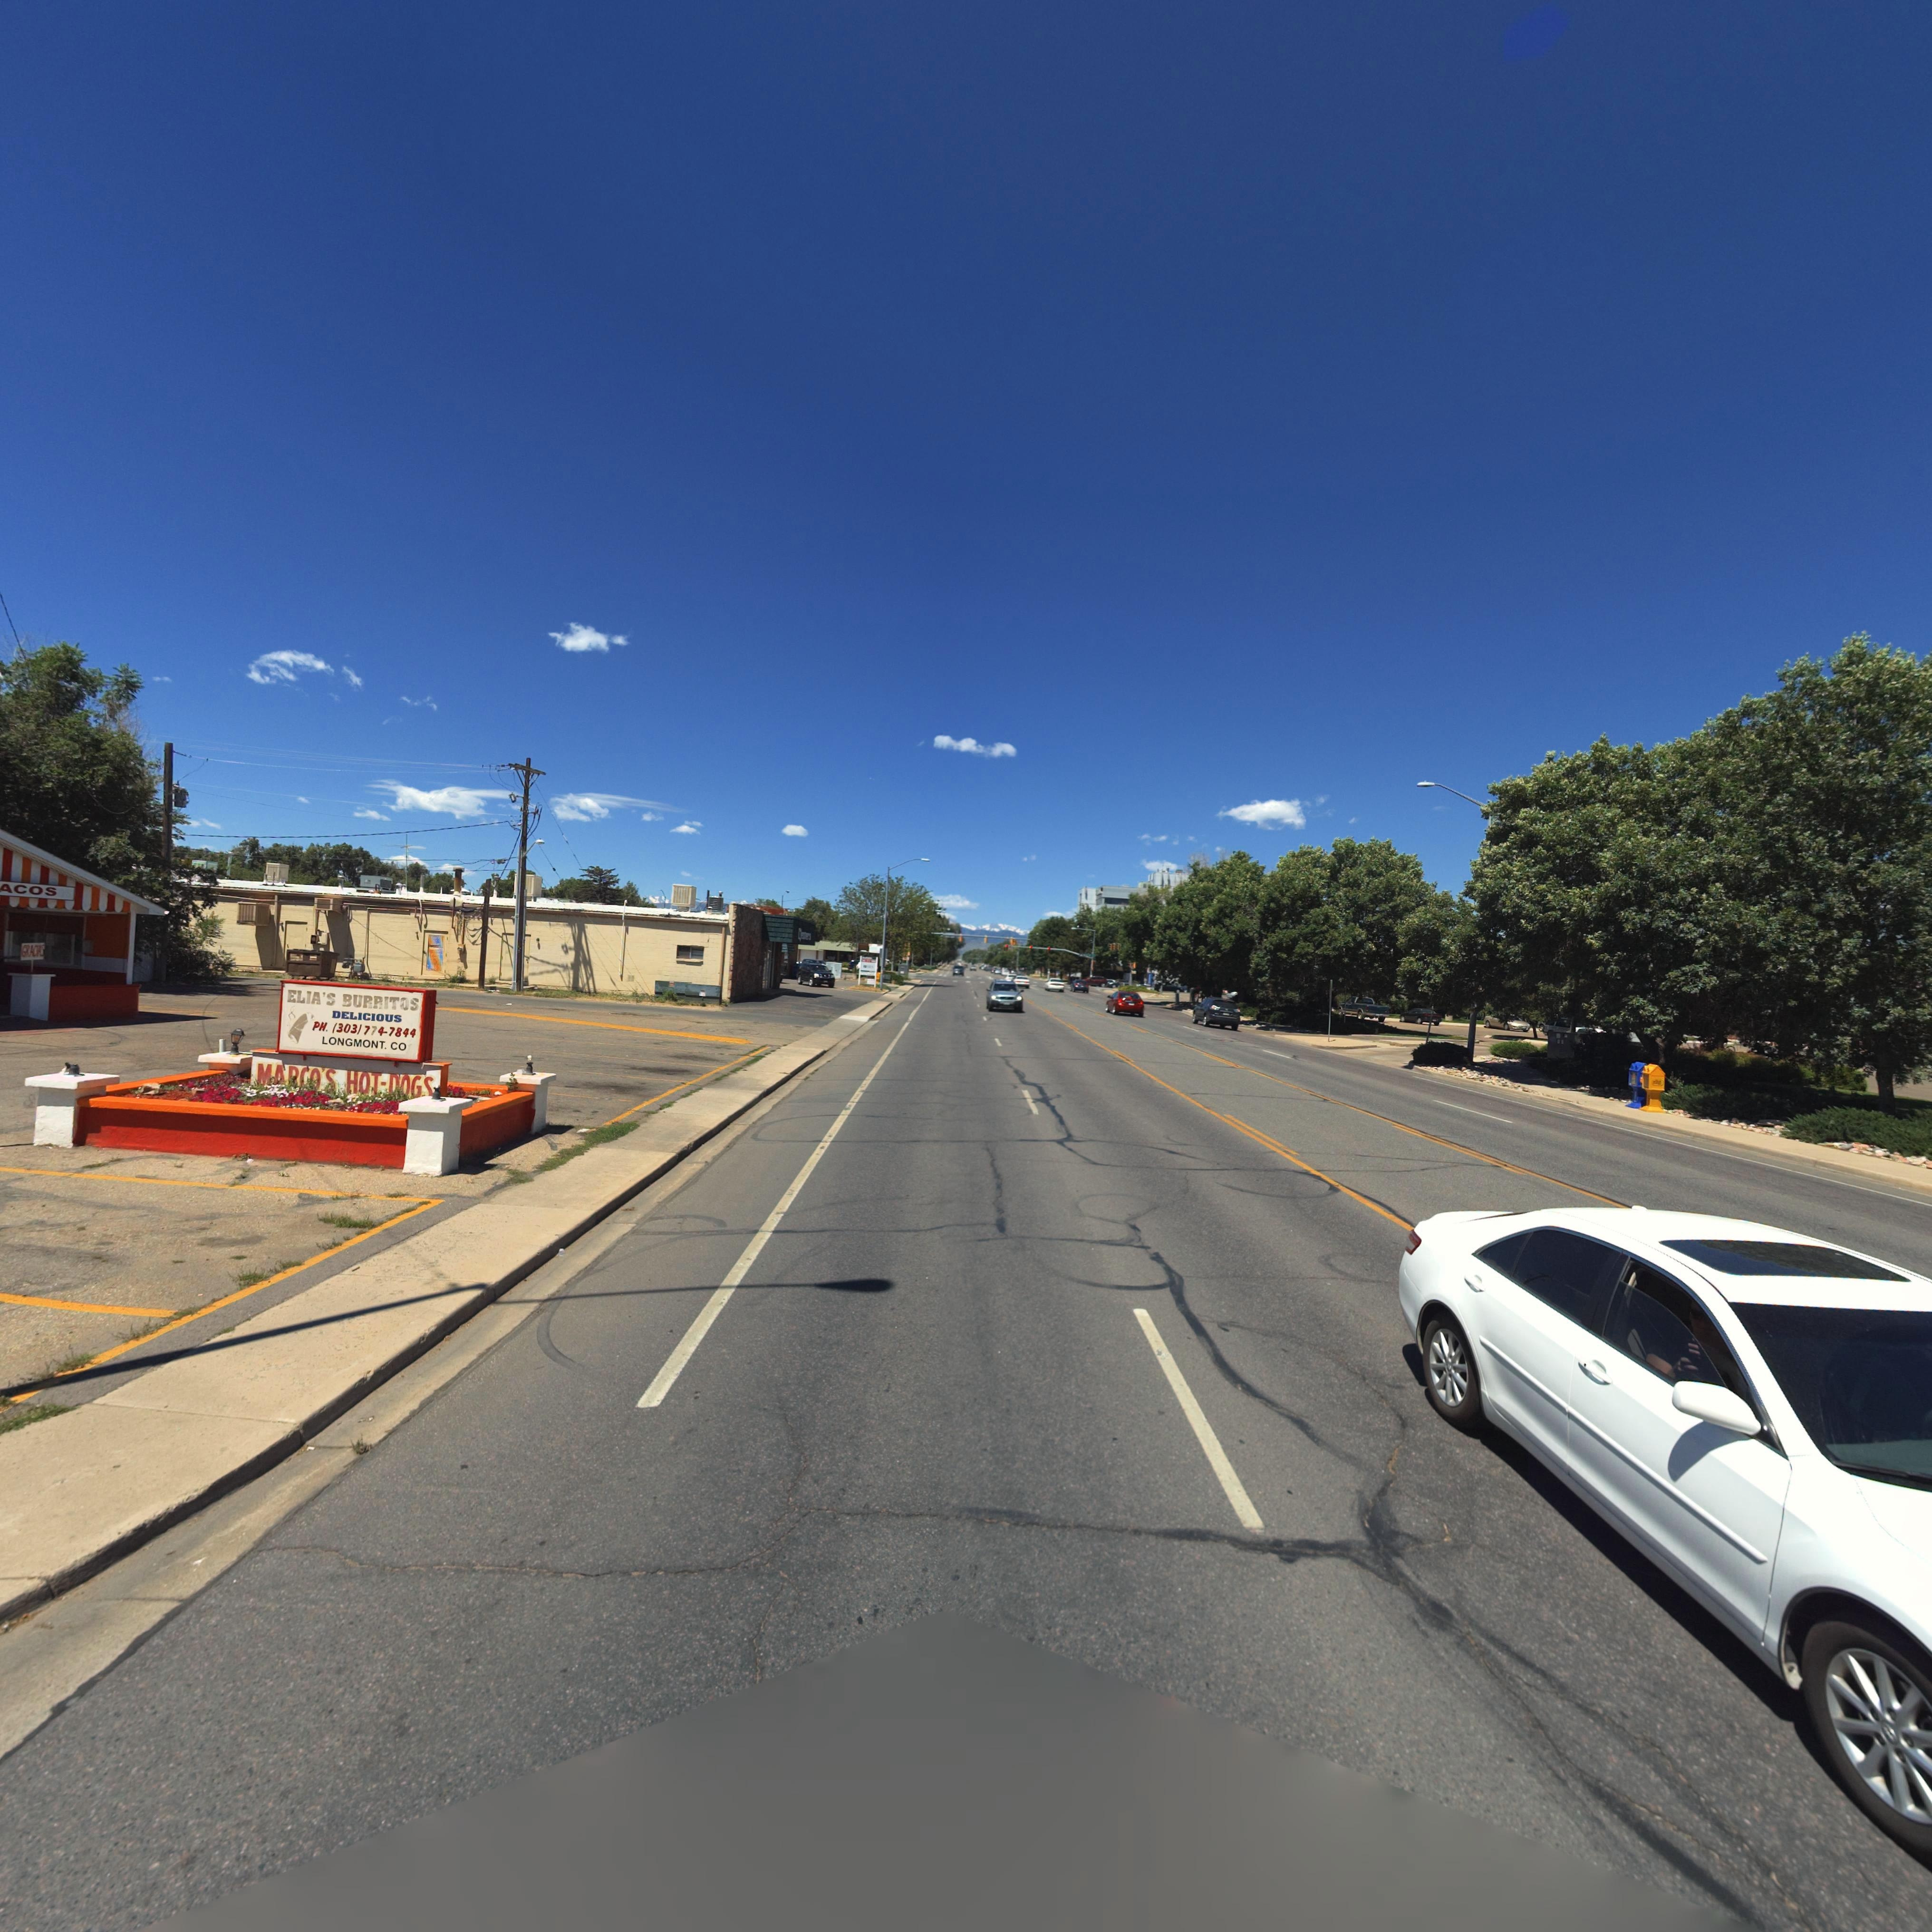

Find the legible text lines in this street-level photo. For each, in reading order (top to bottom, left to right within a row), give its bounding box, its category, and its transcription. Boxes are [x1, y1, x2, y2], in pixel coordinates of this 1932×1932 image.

[13, 884, 57, 896] BusinessName: COS
[797, 927, 811, 942] BusinessName: Cleaners
[287, 988, 420, 1011] BusinessName: ELIA'S BURRITOS
[256, 1063, 435, 1102] BusinessName: MA*CO'S HOT-*OGS